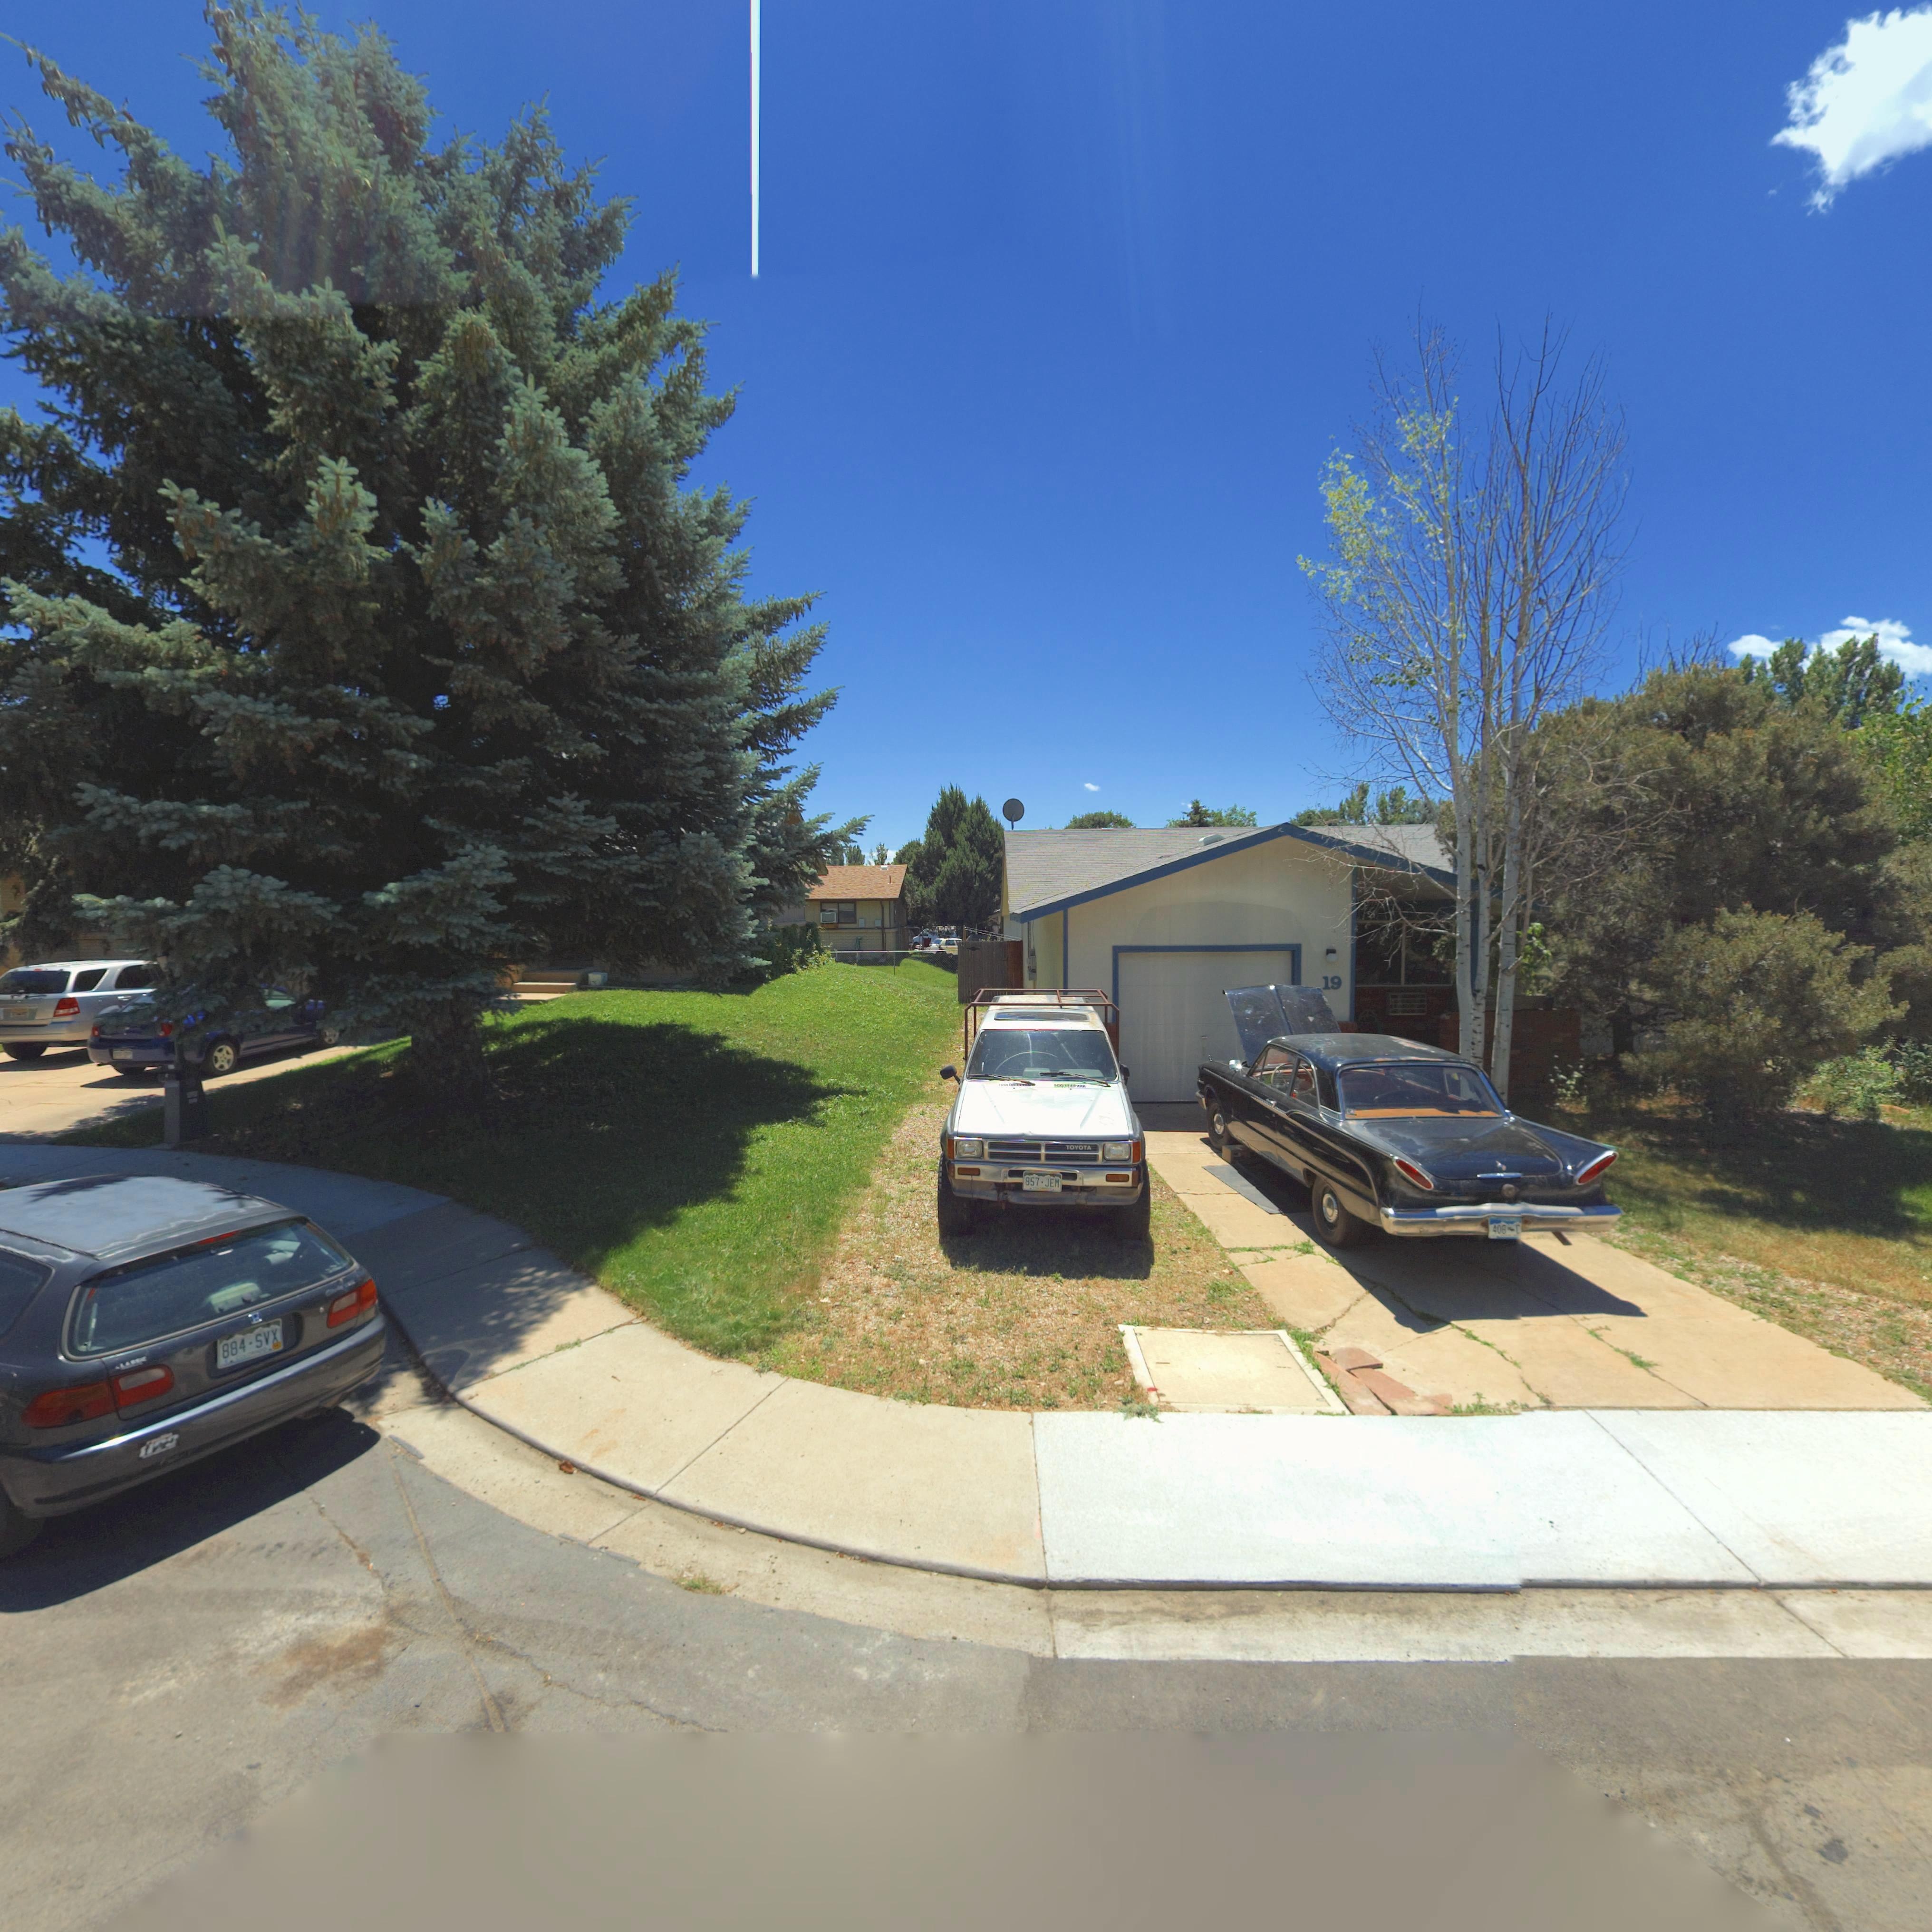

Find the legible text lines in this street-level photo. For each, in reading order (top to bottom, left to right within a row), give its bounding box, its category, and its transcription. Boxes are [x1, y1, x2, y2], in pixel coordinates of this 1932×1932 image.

[1322, 976, 1342, 990] StreetNumber: 19